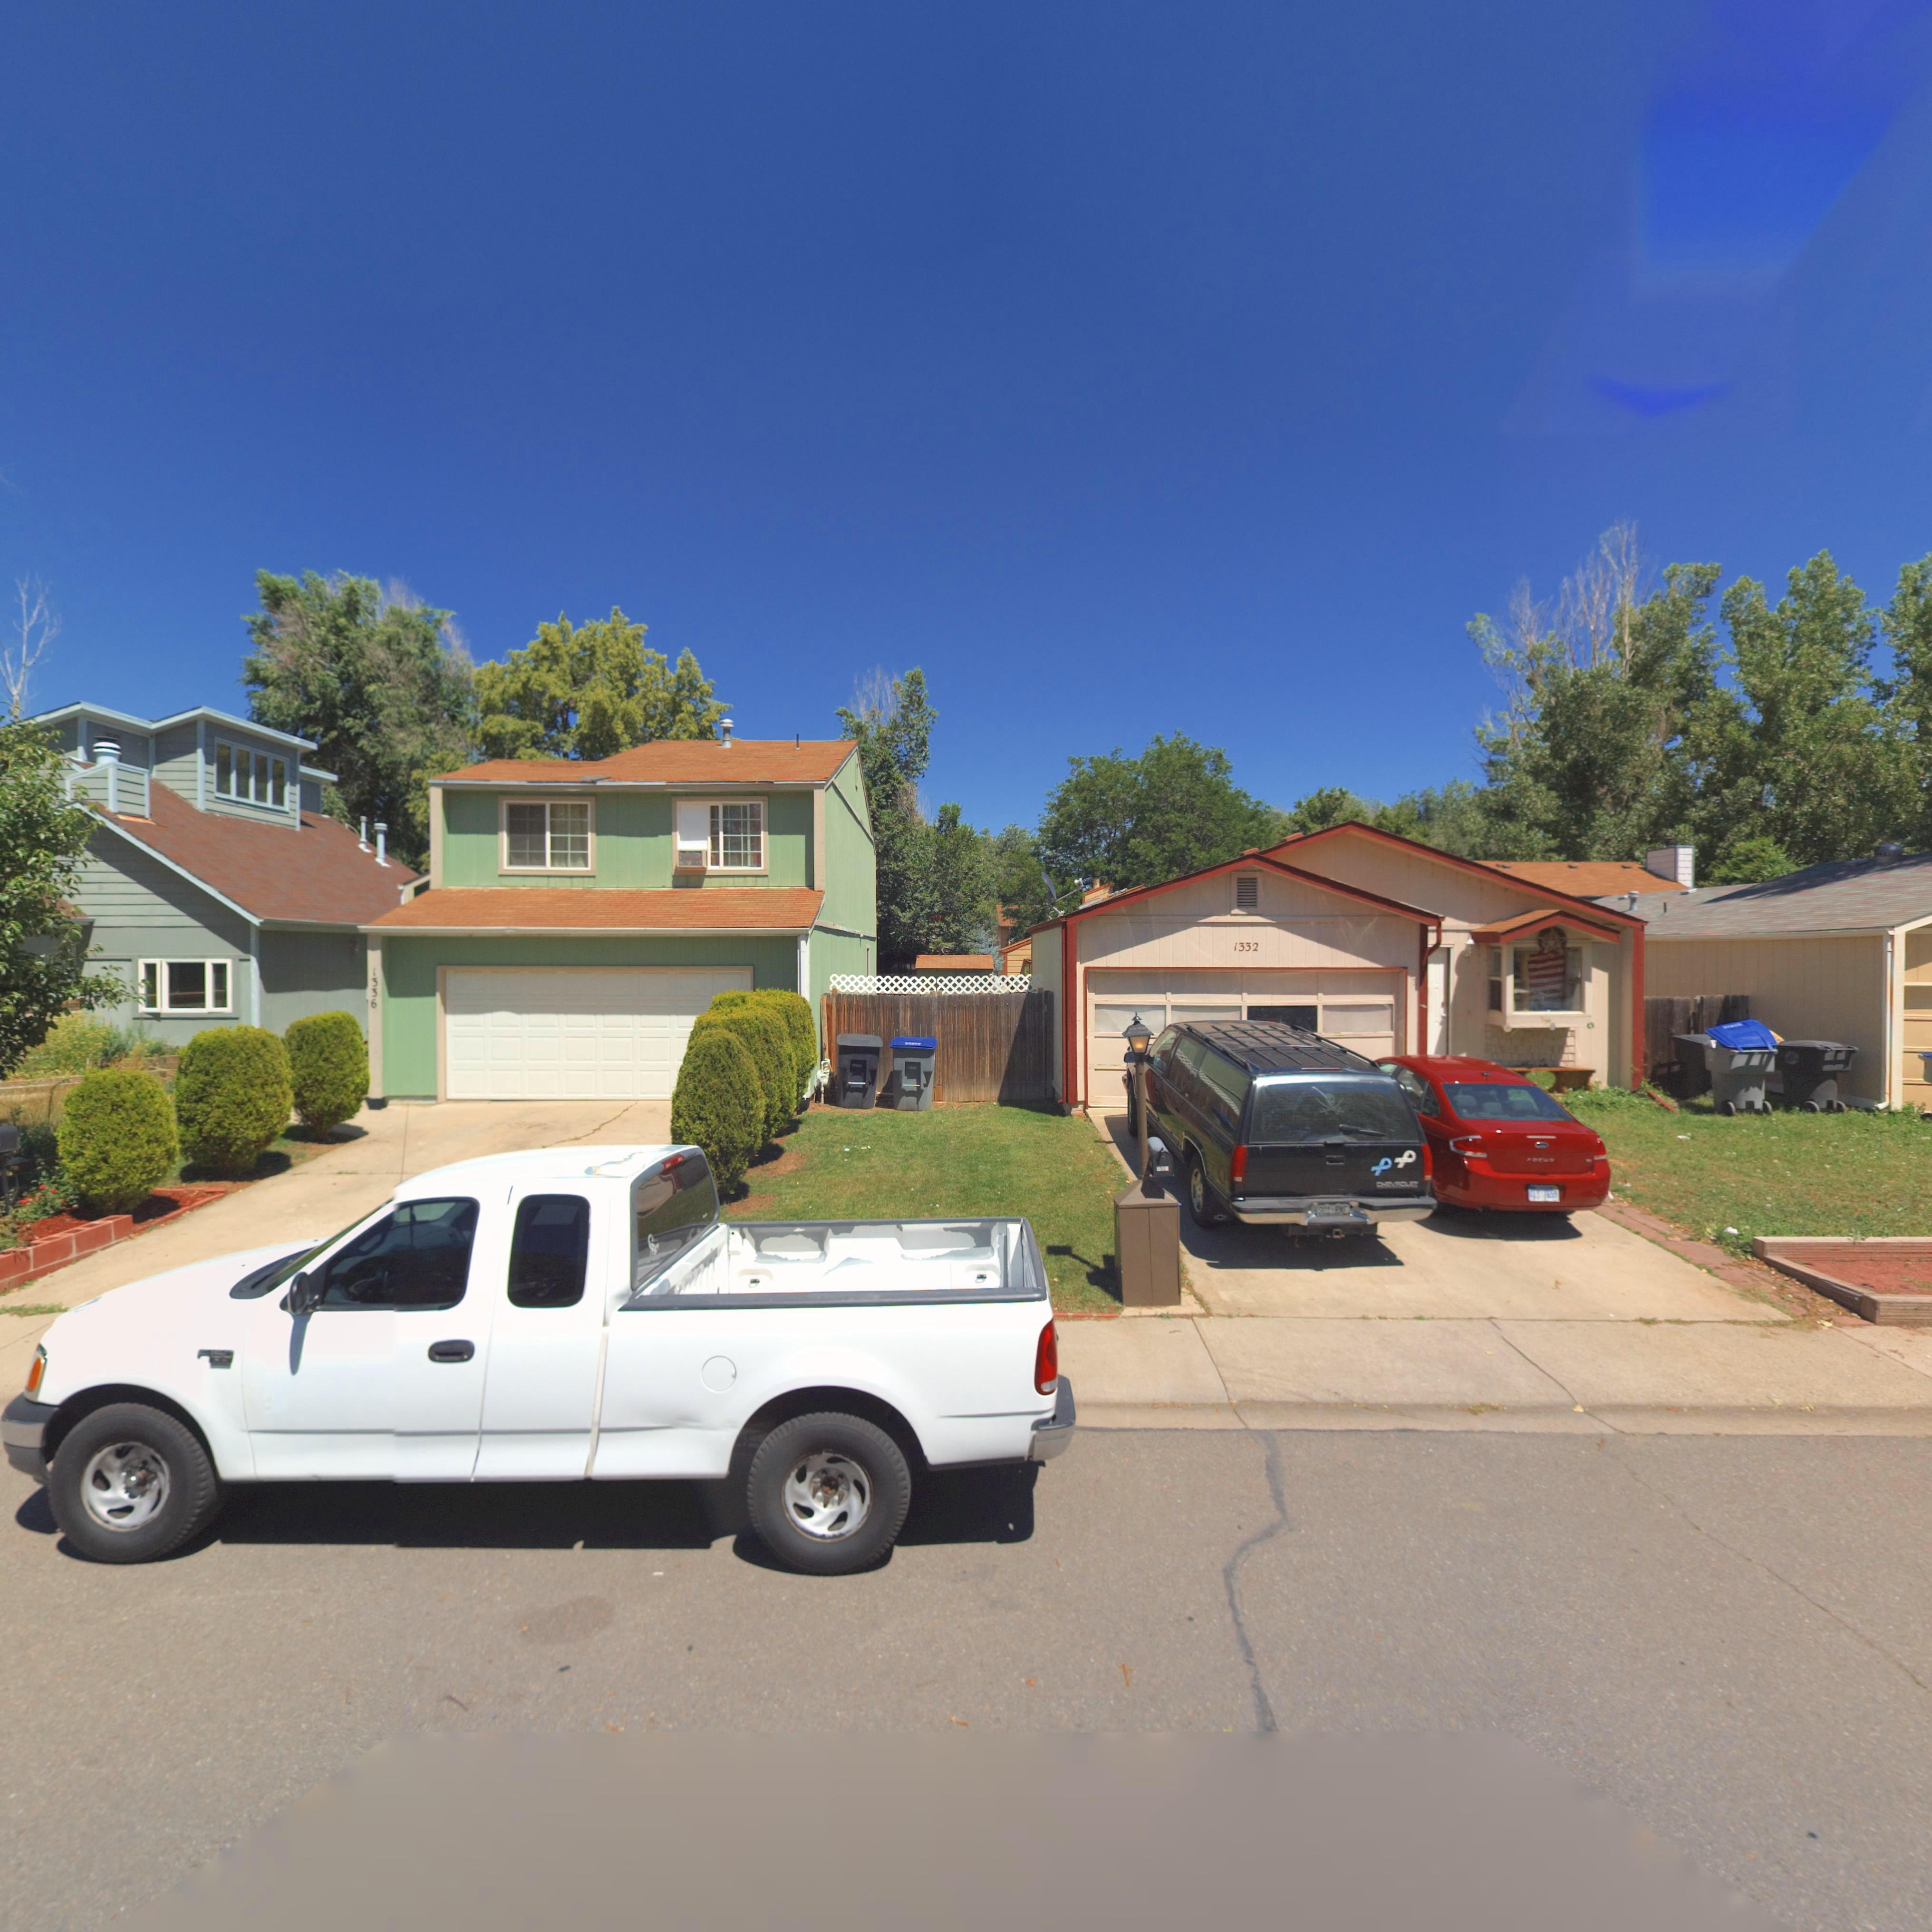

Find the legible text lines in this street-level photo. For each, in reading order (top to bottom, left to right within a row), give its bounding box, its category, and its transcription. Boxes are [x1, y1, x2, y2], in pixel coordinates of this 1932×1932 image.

[1233, 941, 1259, 952] StreetNumber: 1332
[370, 966, 378, 1009] StreetNumber: 1336
[1157, 1166, 1166, 1171] StreetNumber: 133